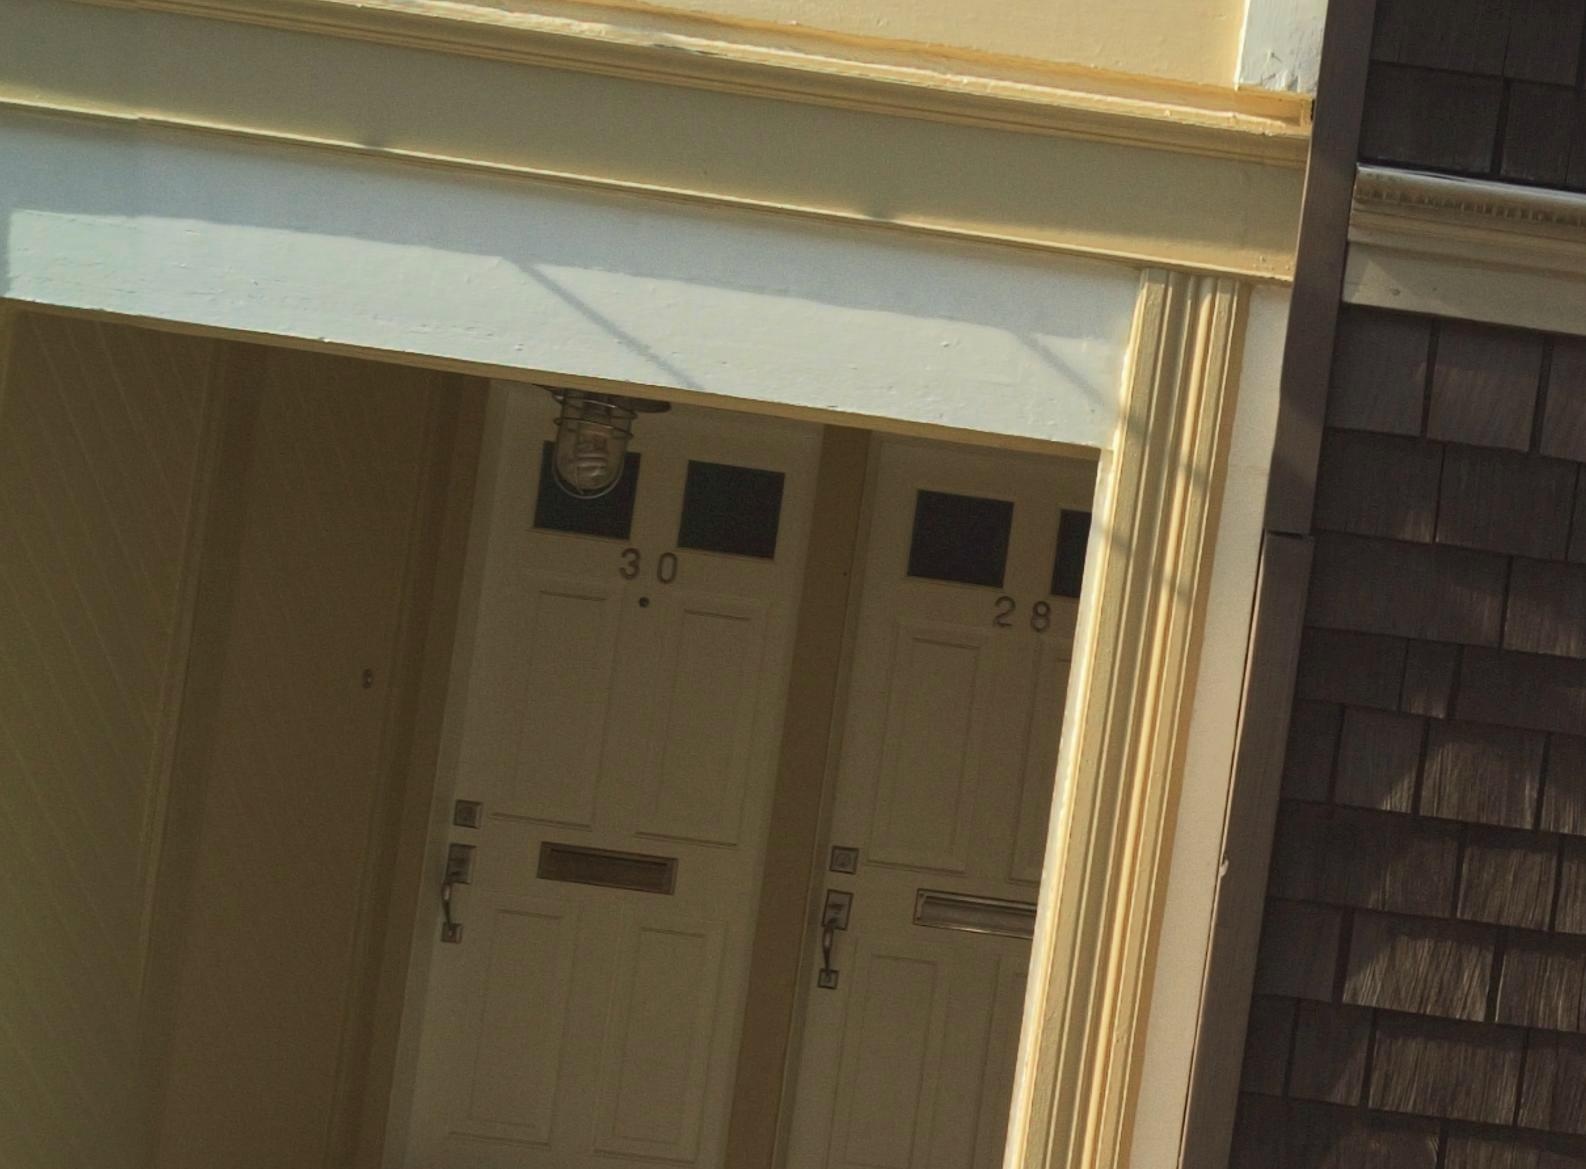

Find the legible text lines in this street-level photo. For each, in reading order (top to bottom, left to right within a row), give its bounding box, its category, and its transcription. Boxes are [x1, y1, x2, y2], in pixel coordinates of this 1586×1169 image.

[613, 544, 683, 588] StreetNumber: 30
[989, 591, 1057, 639] StreetNumber: 28